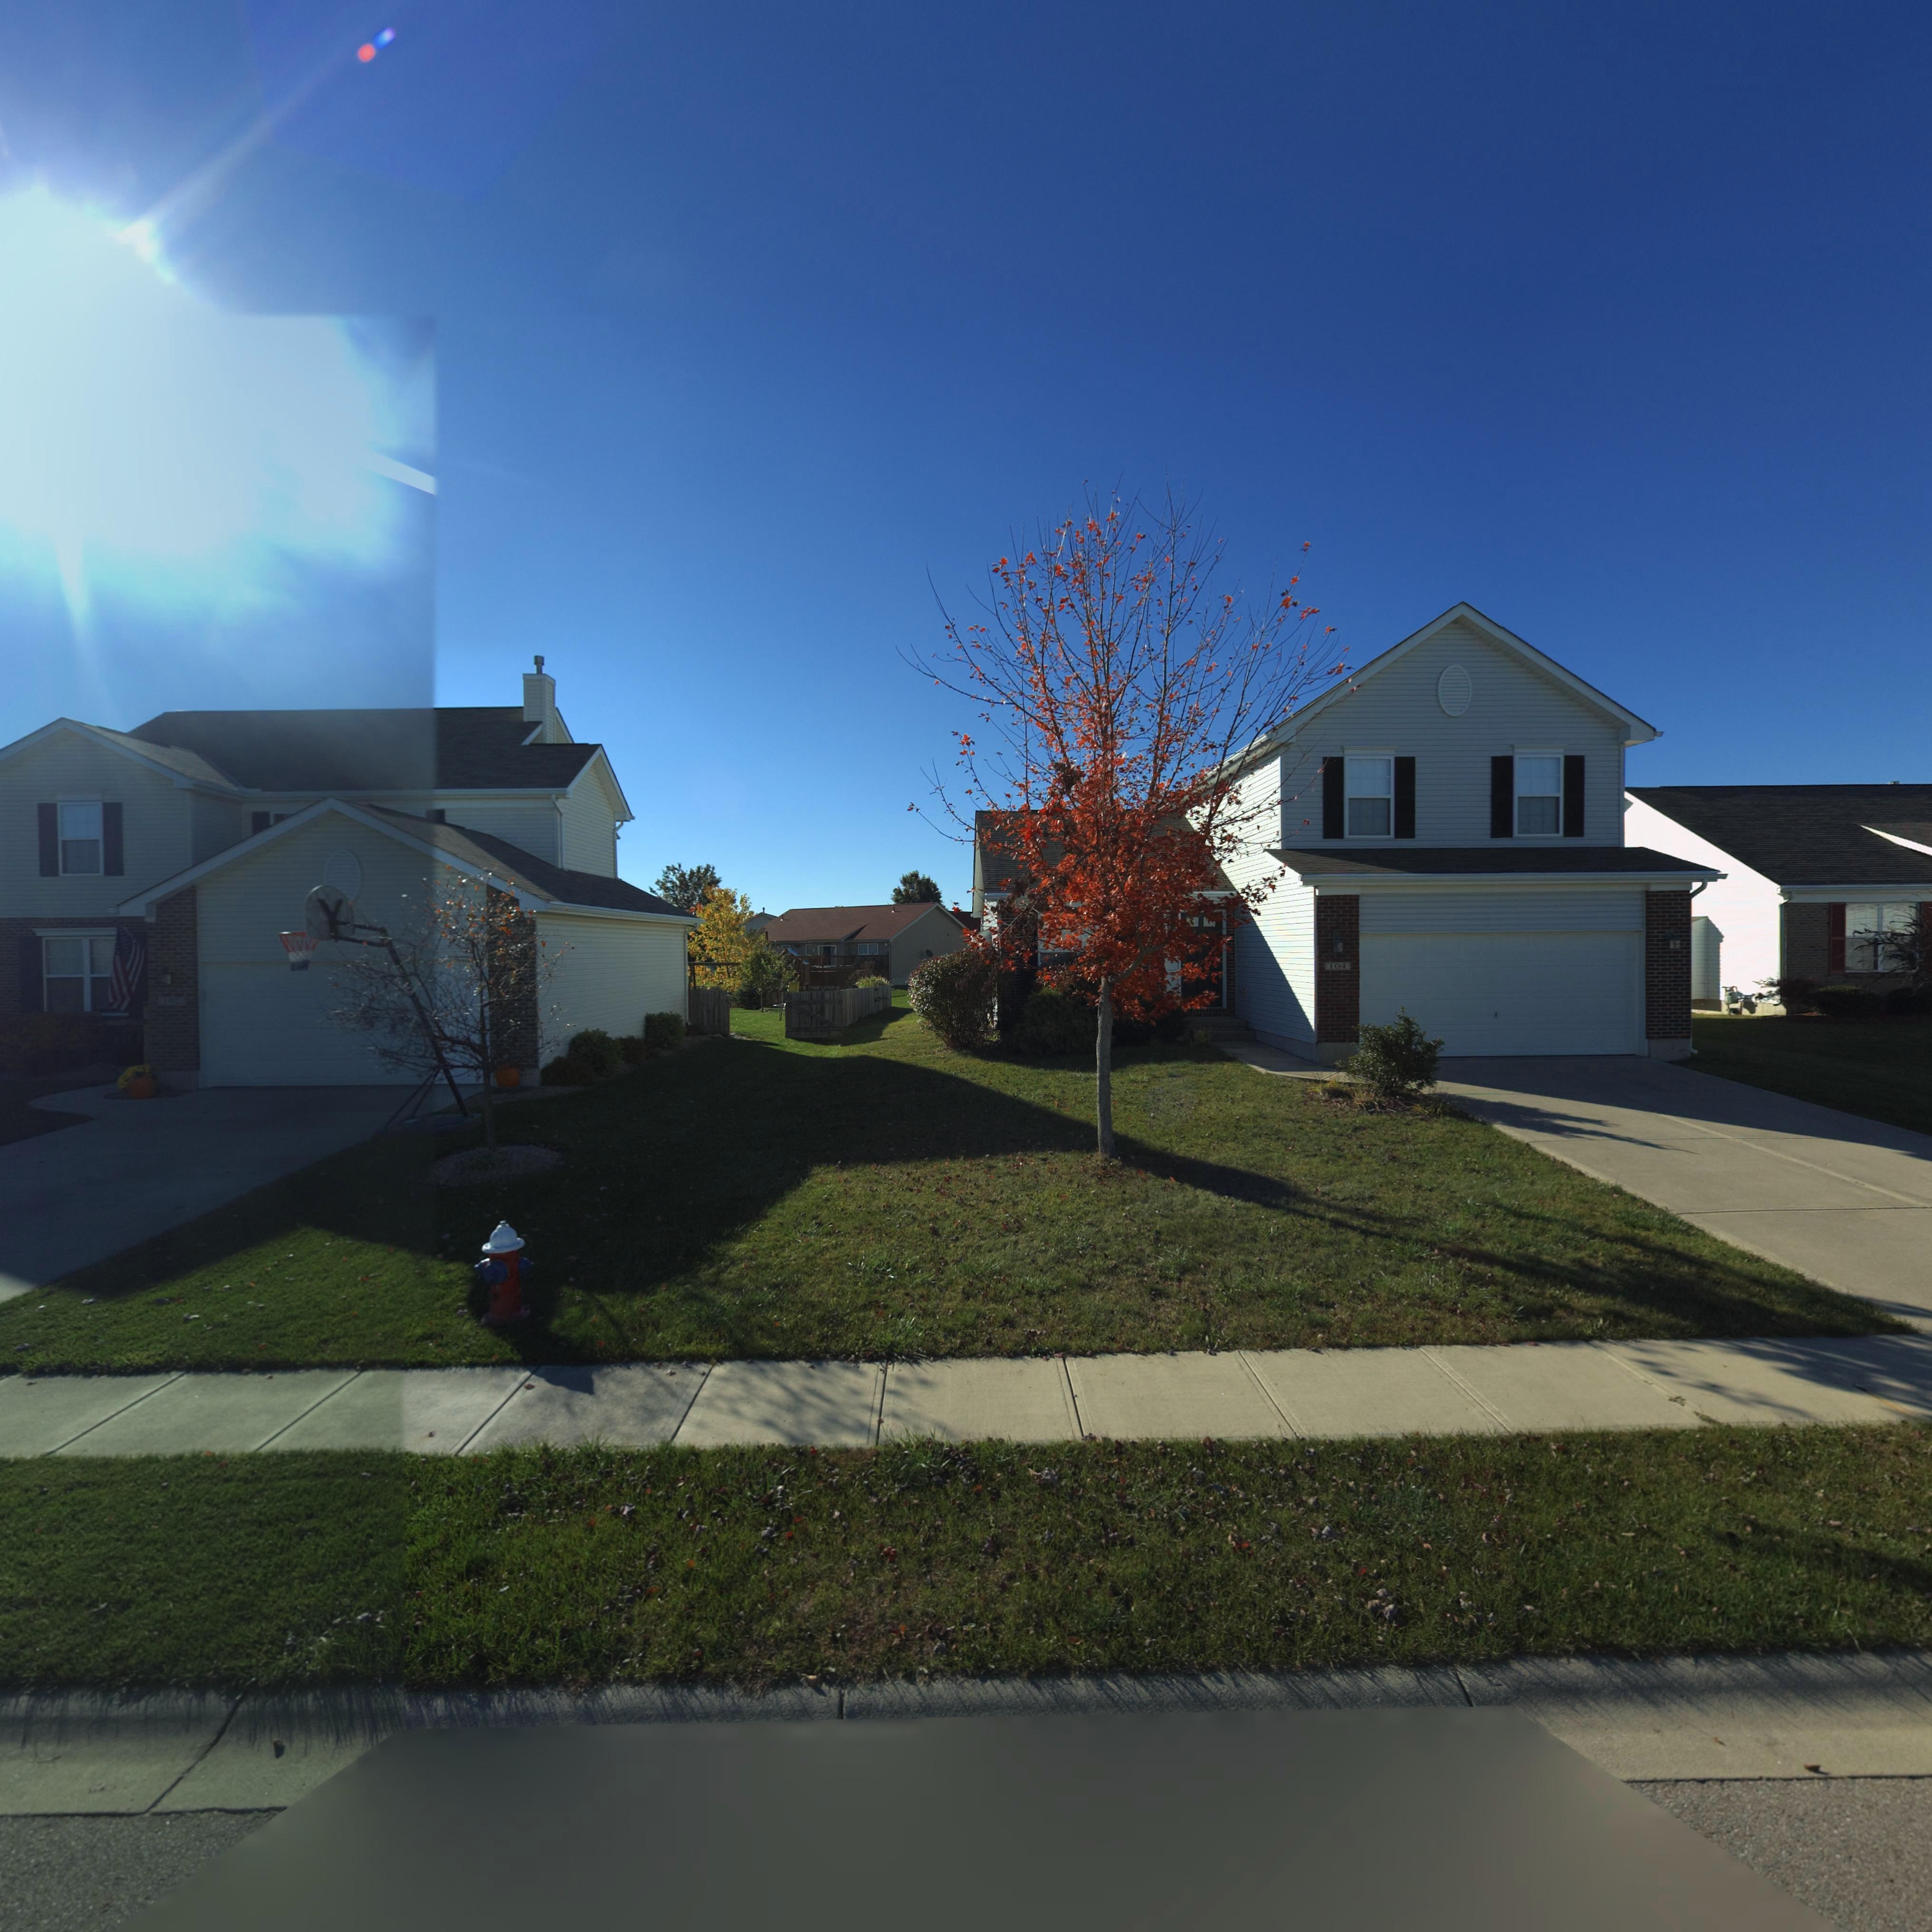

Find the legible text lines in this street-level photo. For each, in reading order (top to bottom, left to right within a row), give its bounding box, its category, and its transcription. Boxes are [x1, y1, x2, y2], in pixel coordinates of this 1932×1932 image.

[1329, 962, 1346, 970] StreetNumber: 104
[163, 997, 180, 1005] StreetNumber: 102